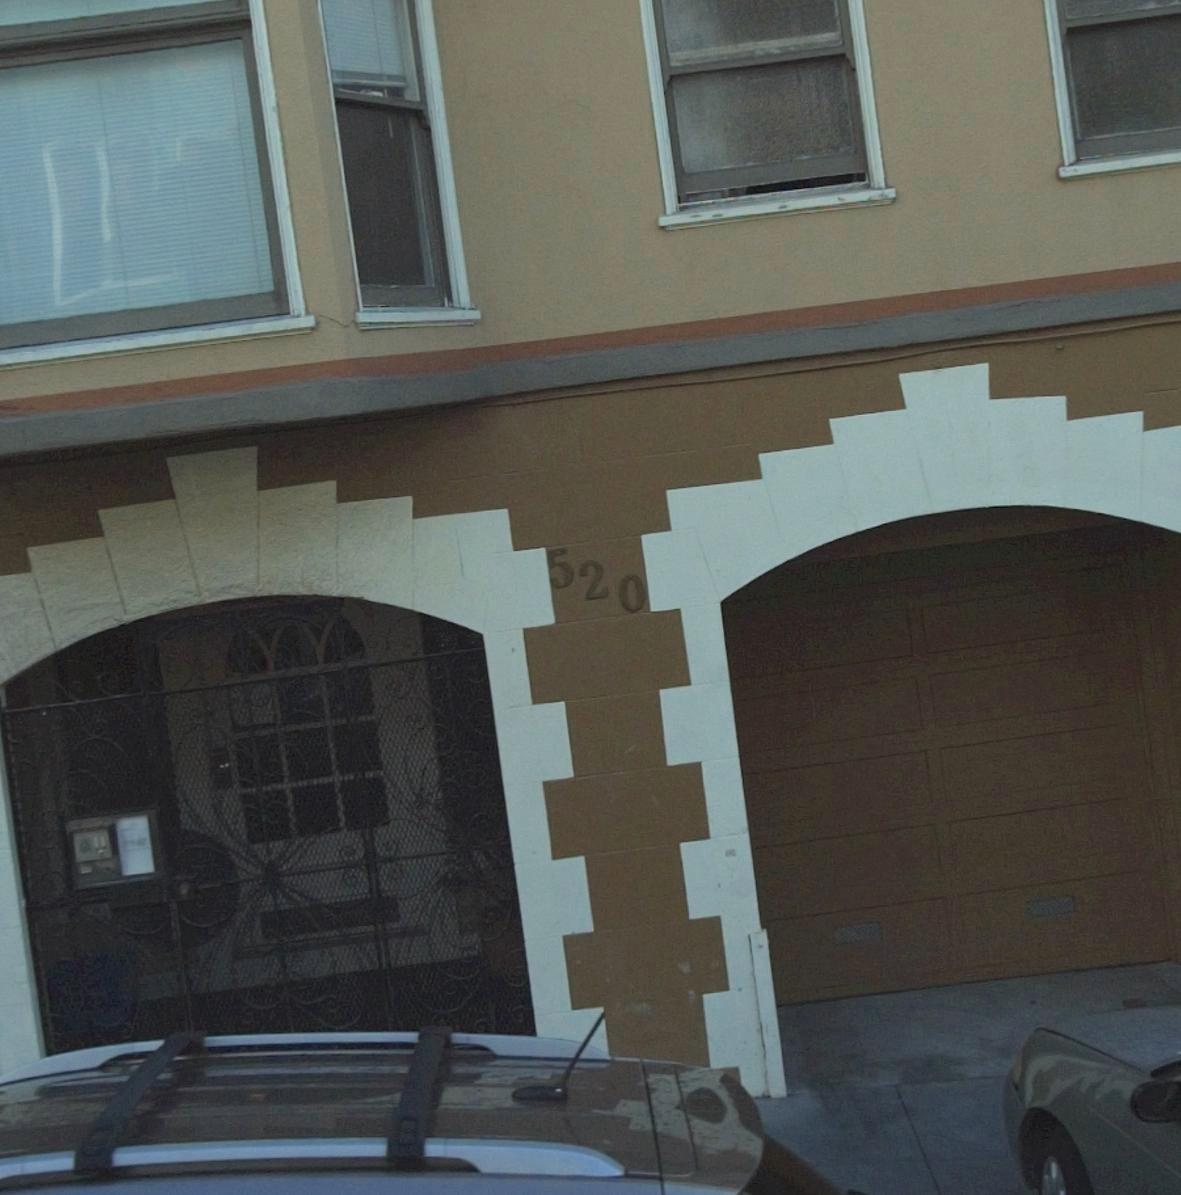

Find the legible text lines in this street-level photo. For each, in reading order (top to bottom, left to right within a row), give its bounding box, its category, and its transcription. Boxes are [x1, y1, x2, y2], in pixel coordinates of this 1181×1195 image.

[542, 542, 651, 618] StreetNumber: 520